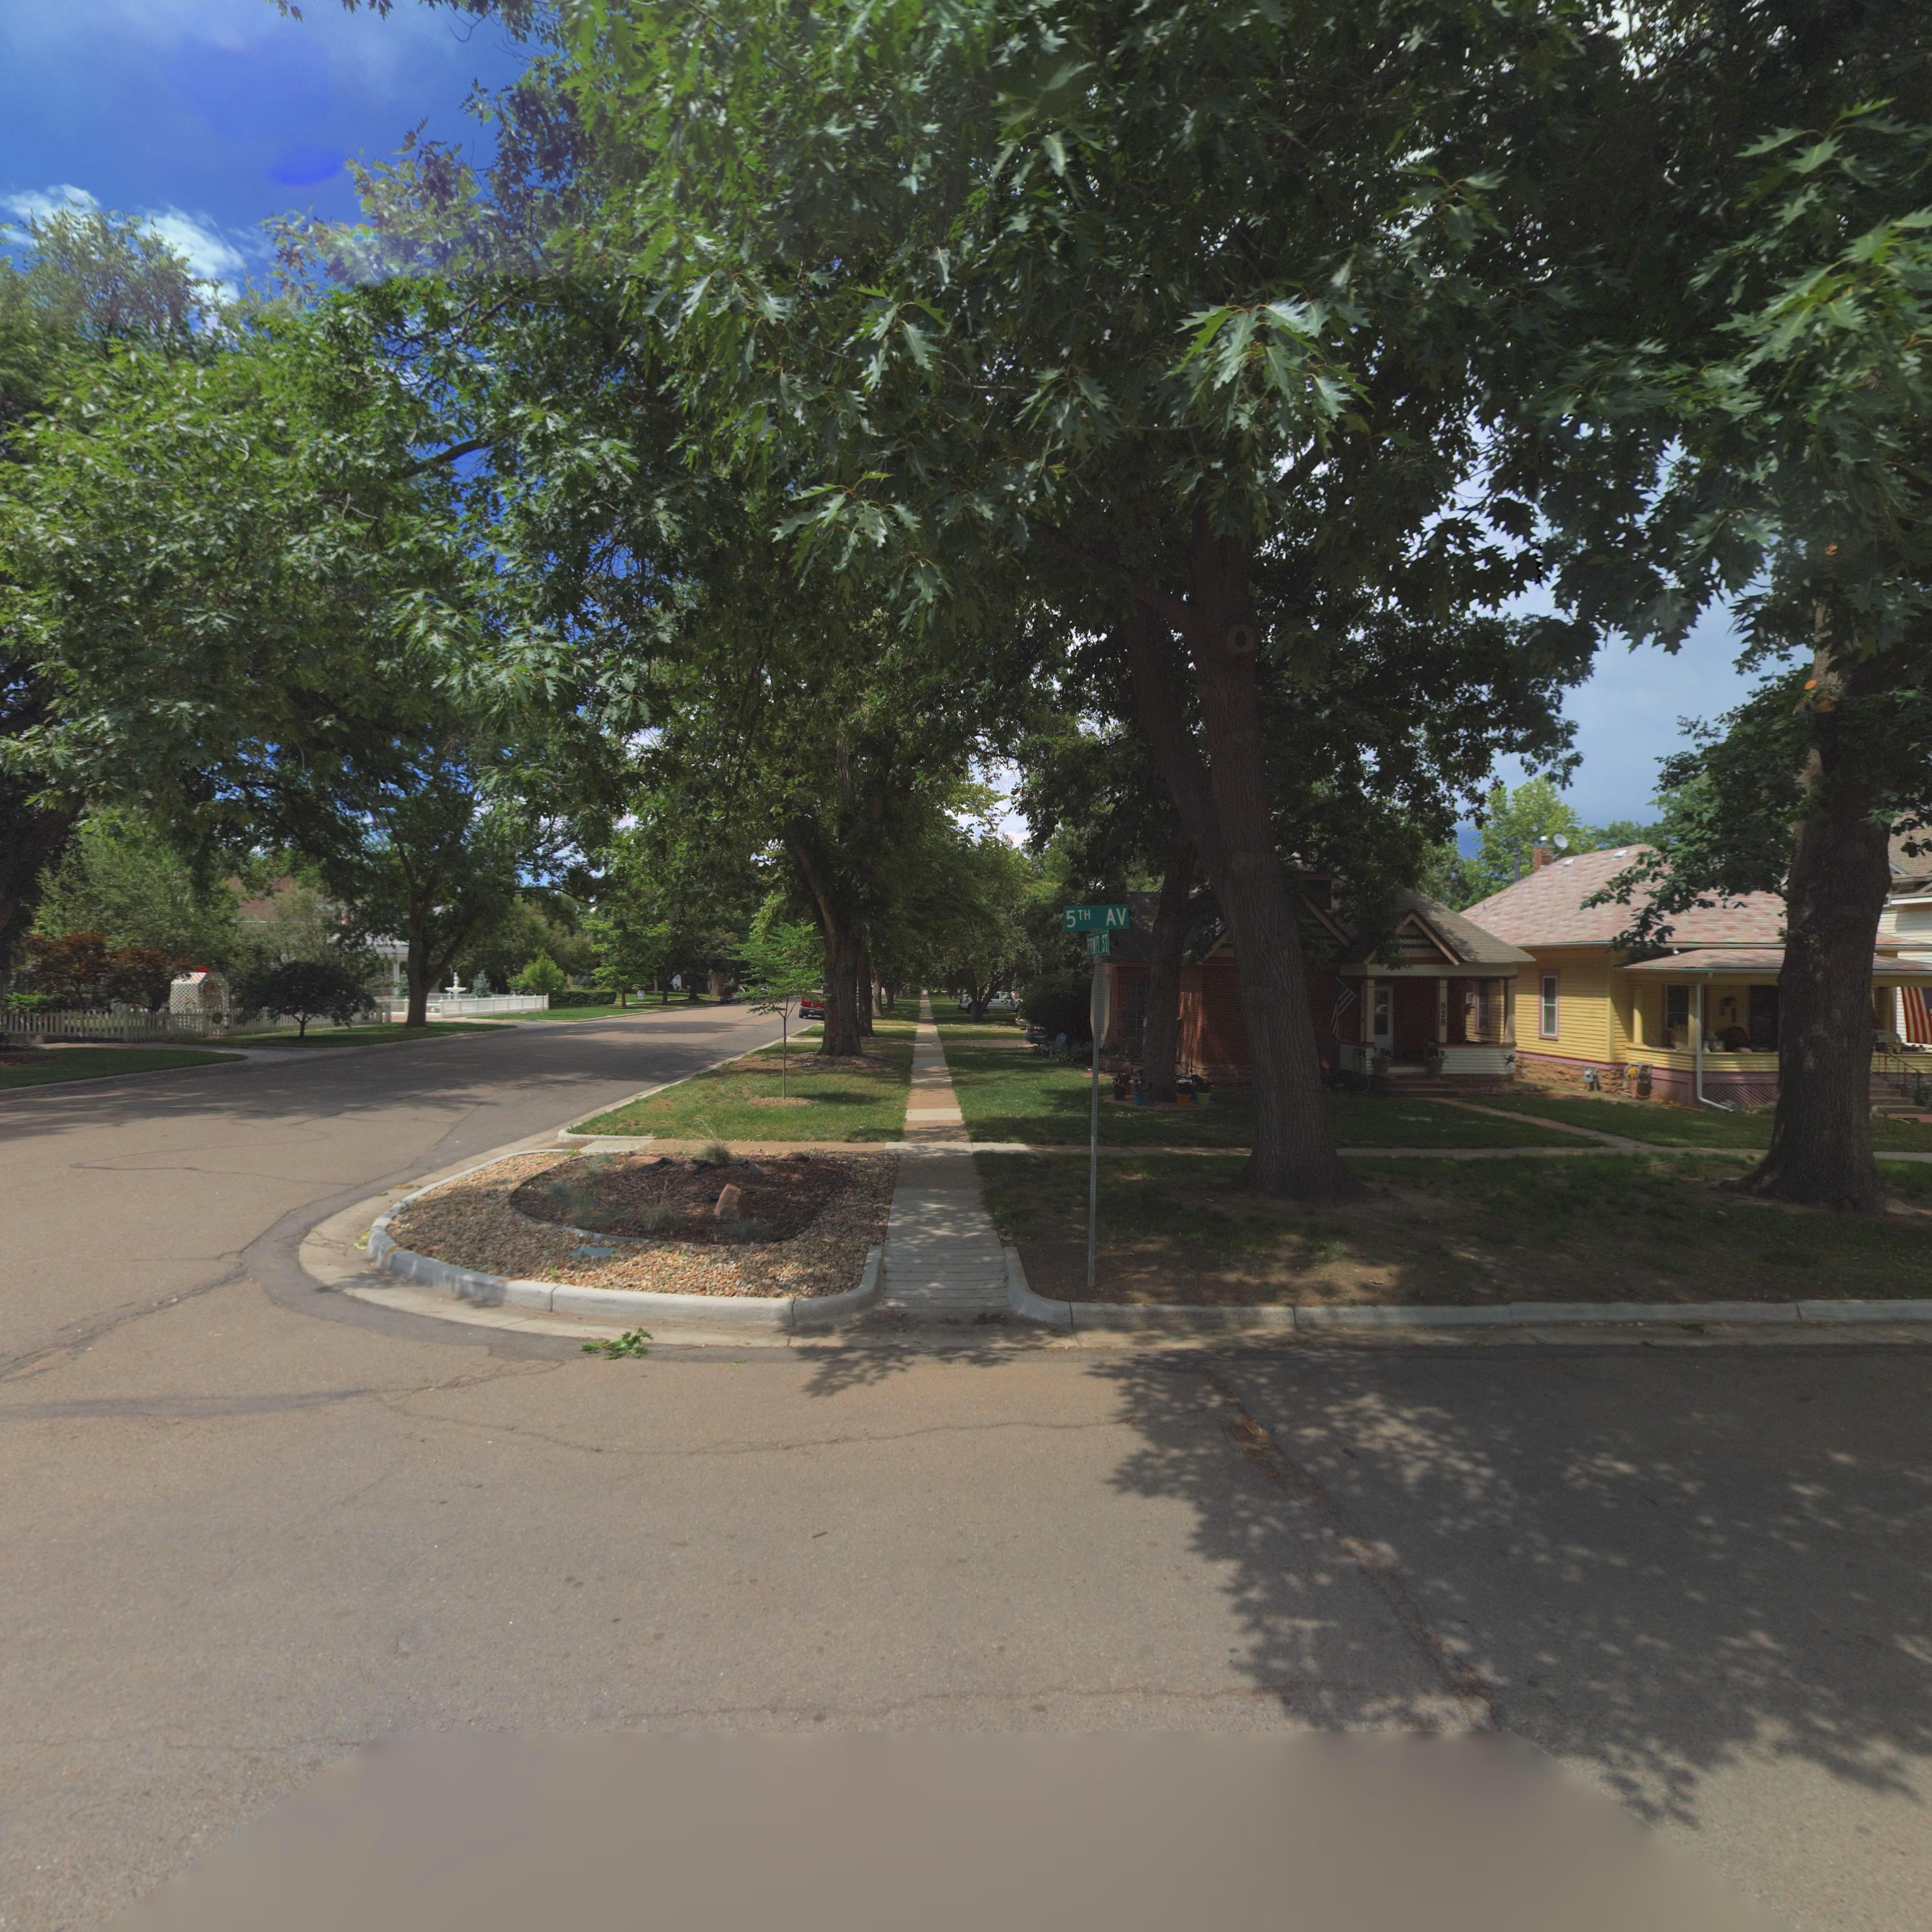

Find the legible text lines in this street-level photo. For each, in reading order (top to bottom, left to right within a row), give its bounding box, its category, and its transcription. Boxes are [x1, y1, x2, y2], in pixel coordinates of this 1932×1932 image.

[1065, 907, 1127, 928] StreetName: 5TH AV
[1086, 933, 1108, 955] StreetName: PRATT ST
[1439, 1001, 1446, 1027] StreetNumber: 828